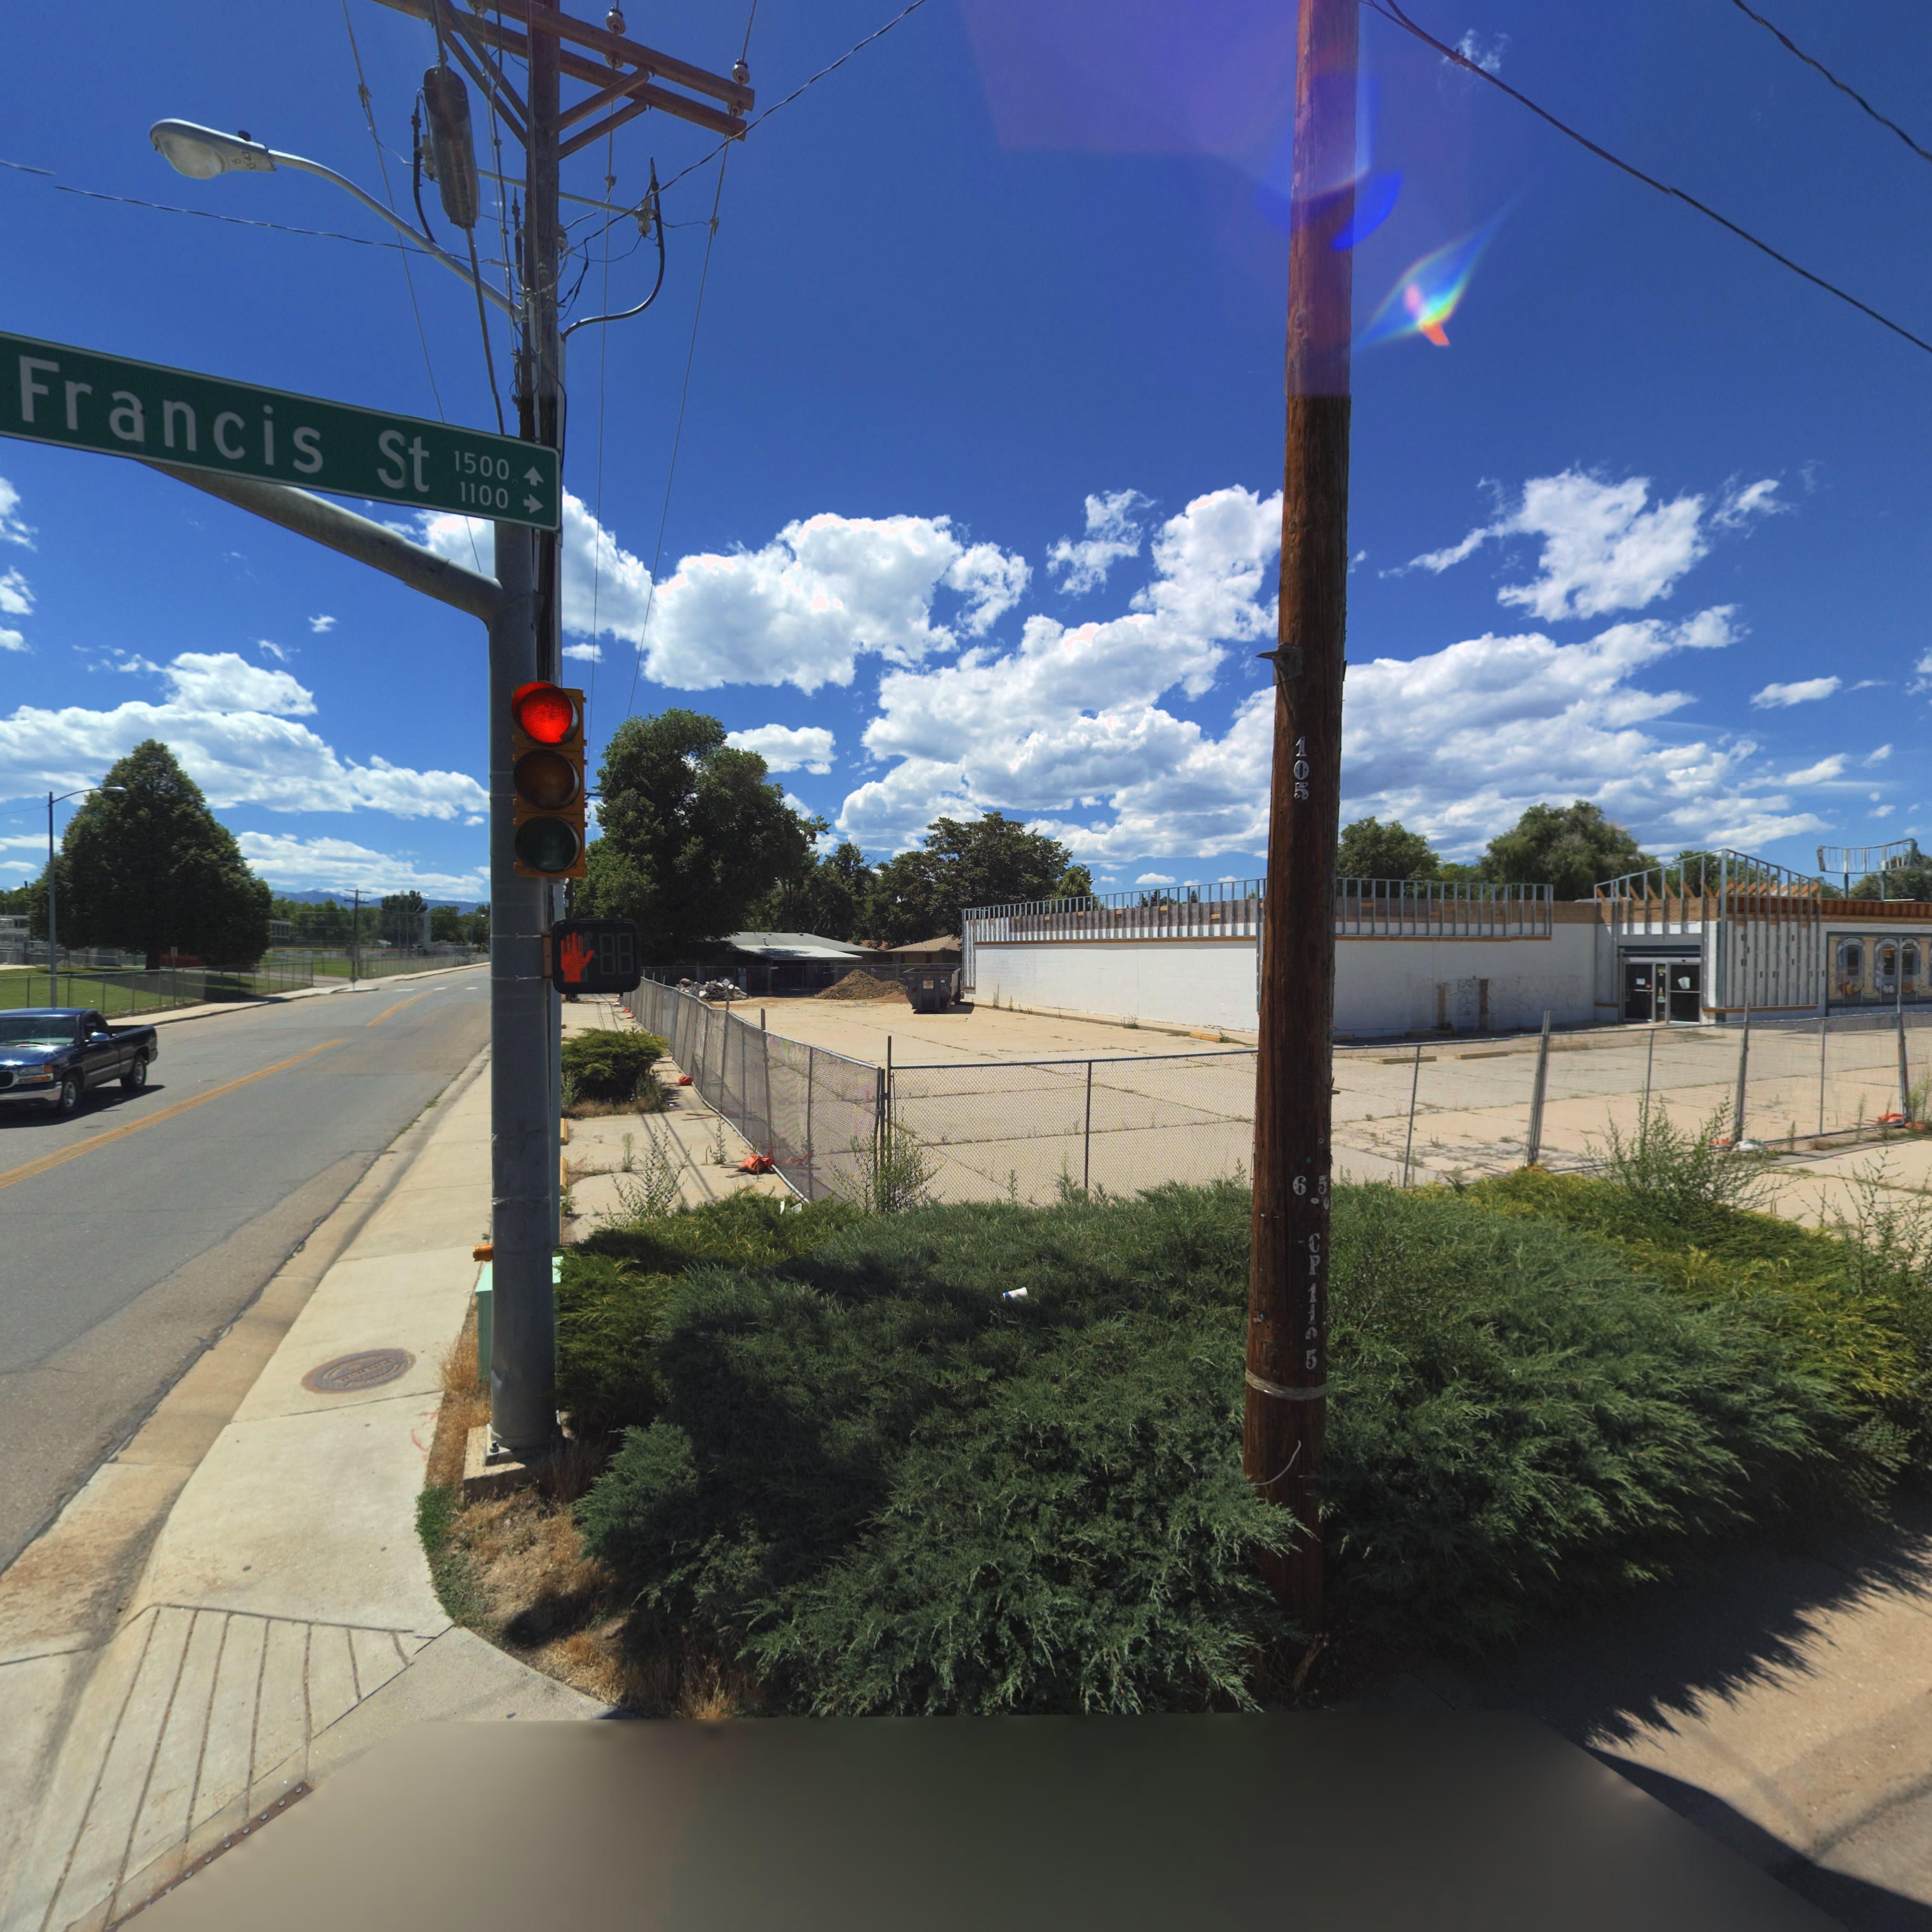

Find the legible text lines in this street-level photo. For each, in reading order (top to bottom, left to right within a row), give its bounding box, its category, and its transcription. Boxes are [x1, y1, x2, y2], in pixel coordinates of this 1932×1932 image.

[14, 346, 436, 497] StreetName: Francis St
[453, 448, 511, 483] StreetNumberRange: 1500
[457, 478, 546, 516] StreetNumberRange: 1100->